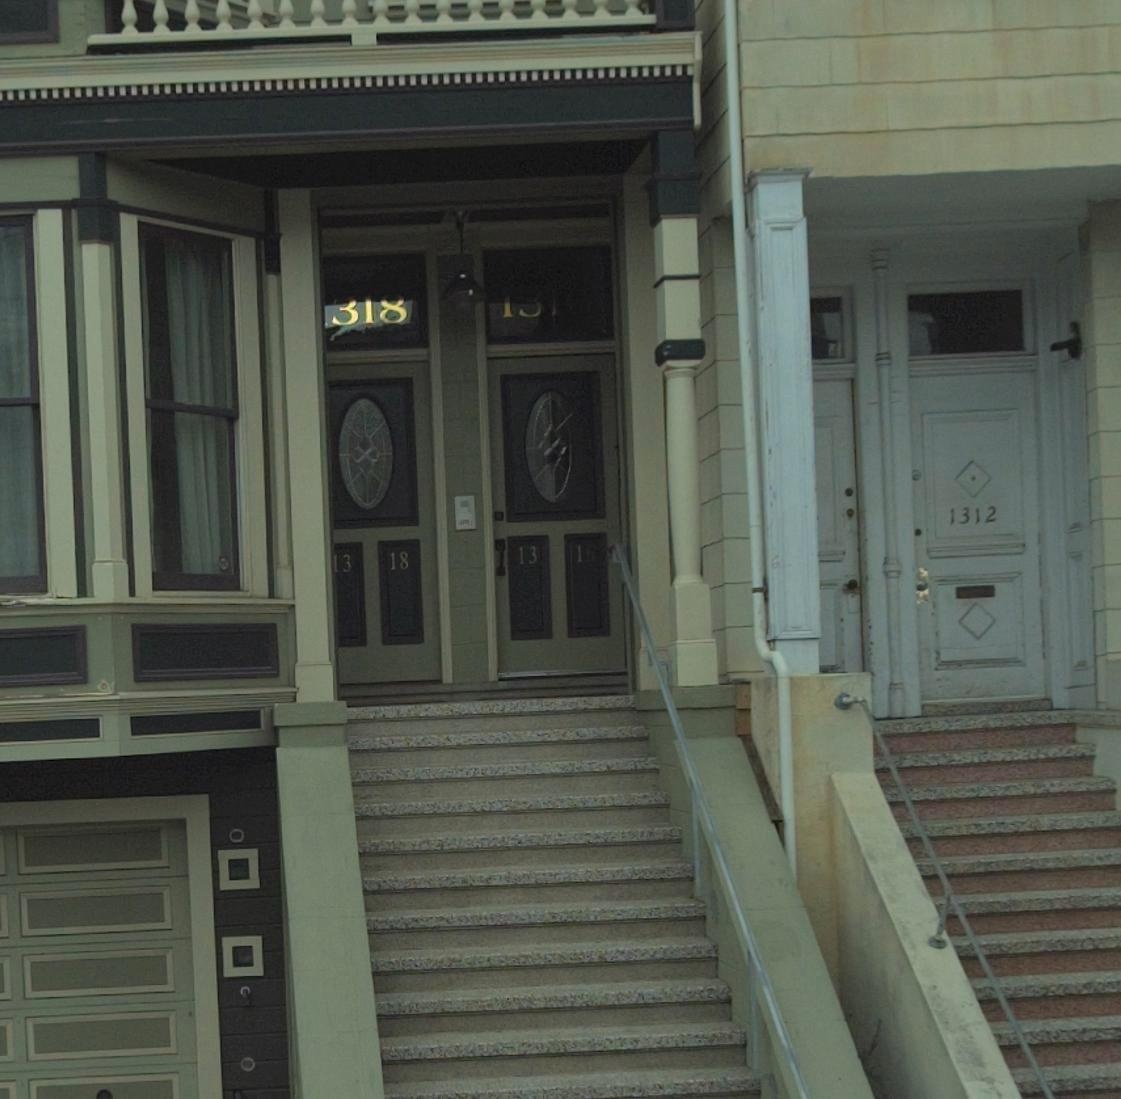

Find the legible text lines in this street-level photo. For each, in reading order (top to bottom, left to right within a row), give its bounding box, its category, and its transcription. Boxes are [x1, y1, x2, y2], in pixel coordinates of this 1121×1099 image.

[331, 292, 410, 328] StreetNumber: 318
[949, 504, 999, 526] StreetNumber: 1312
[333, 550, 410, 574] StreetNumber: 13 18
[518, 541, 597, 566] StreetNumber: 13 16